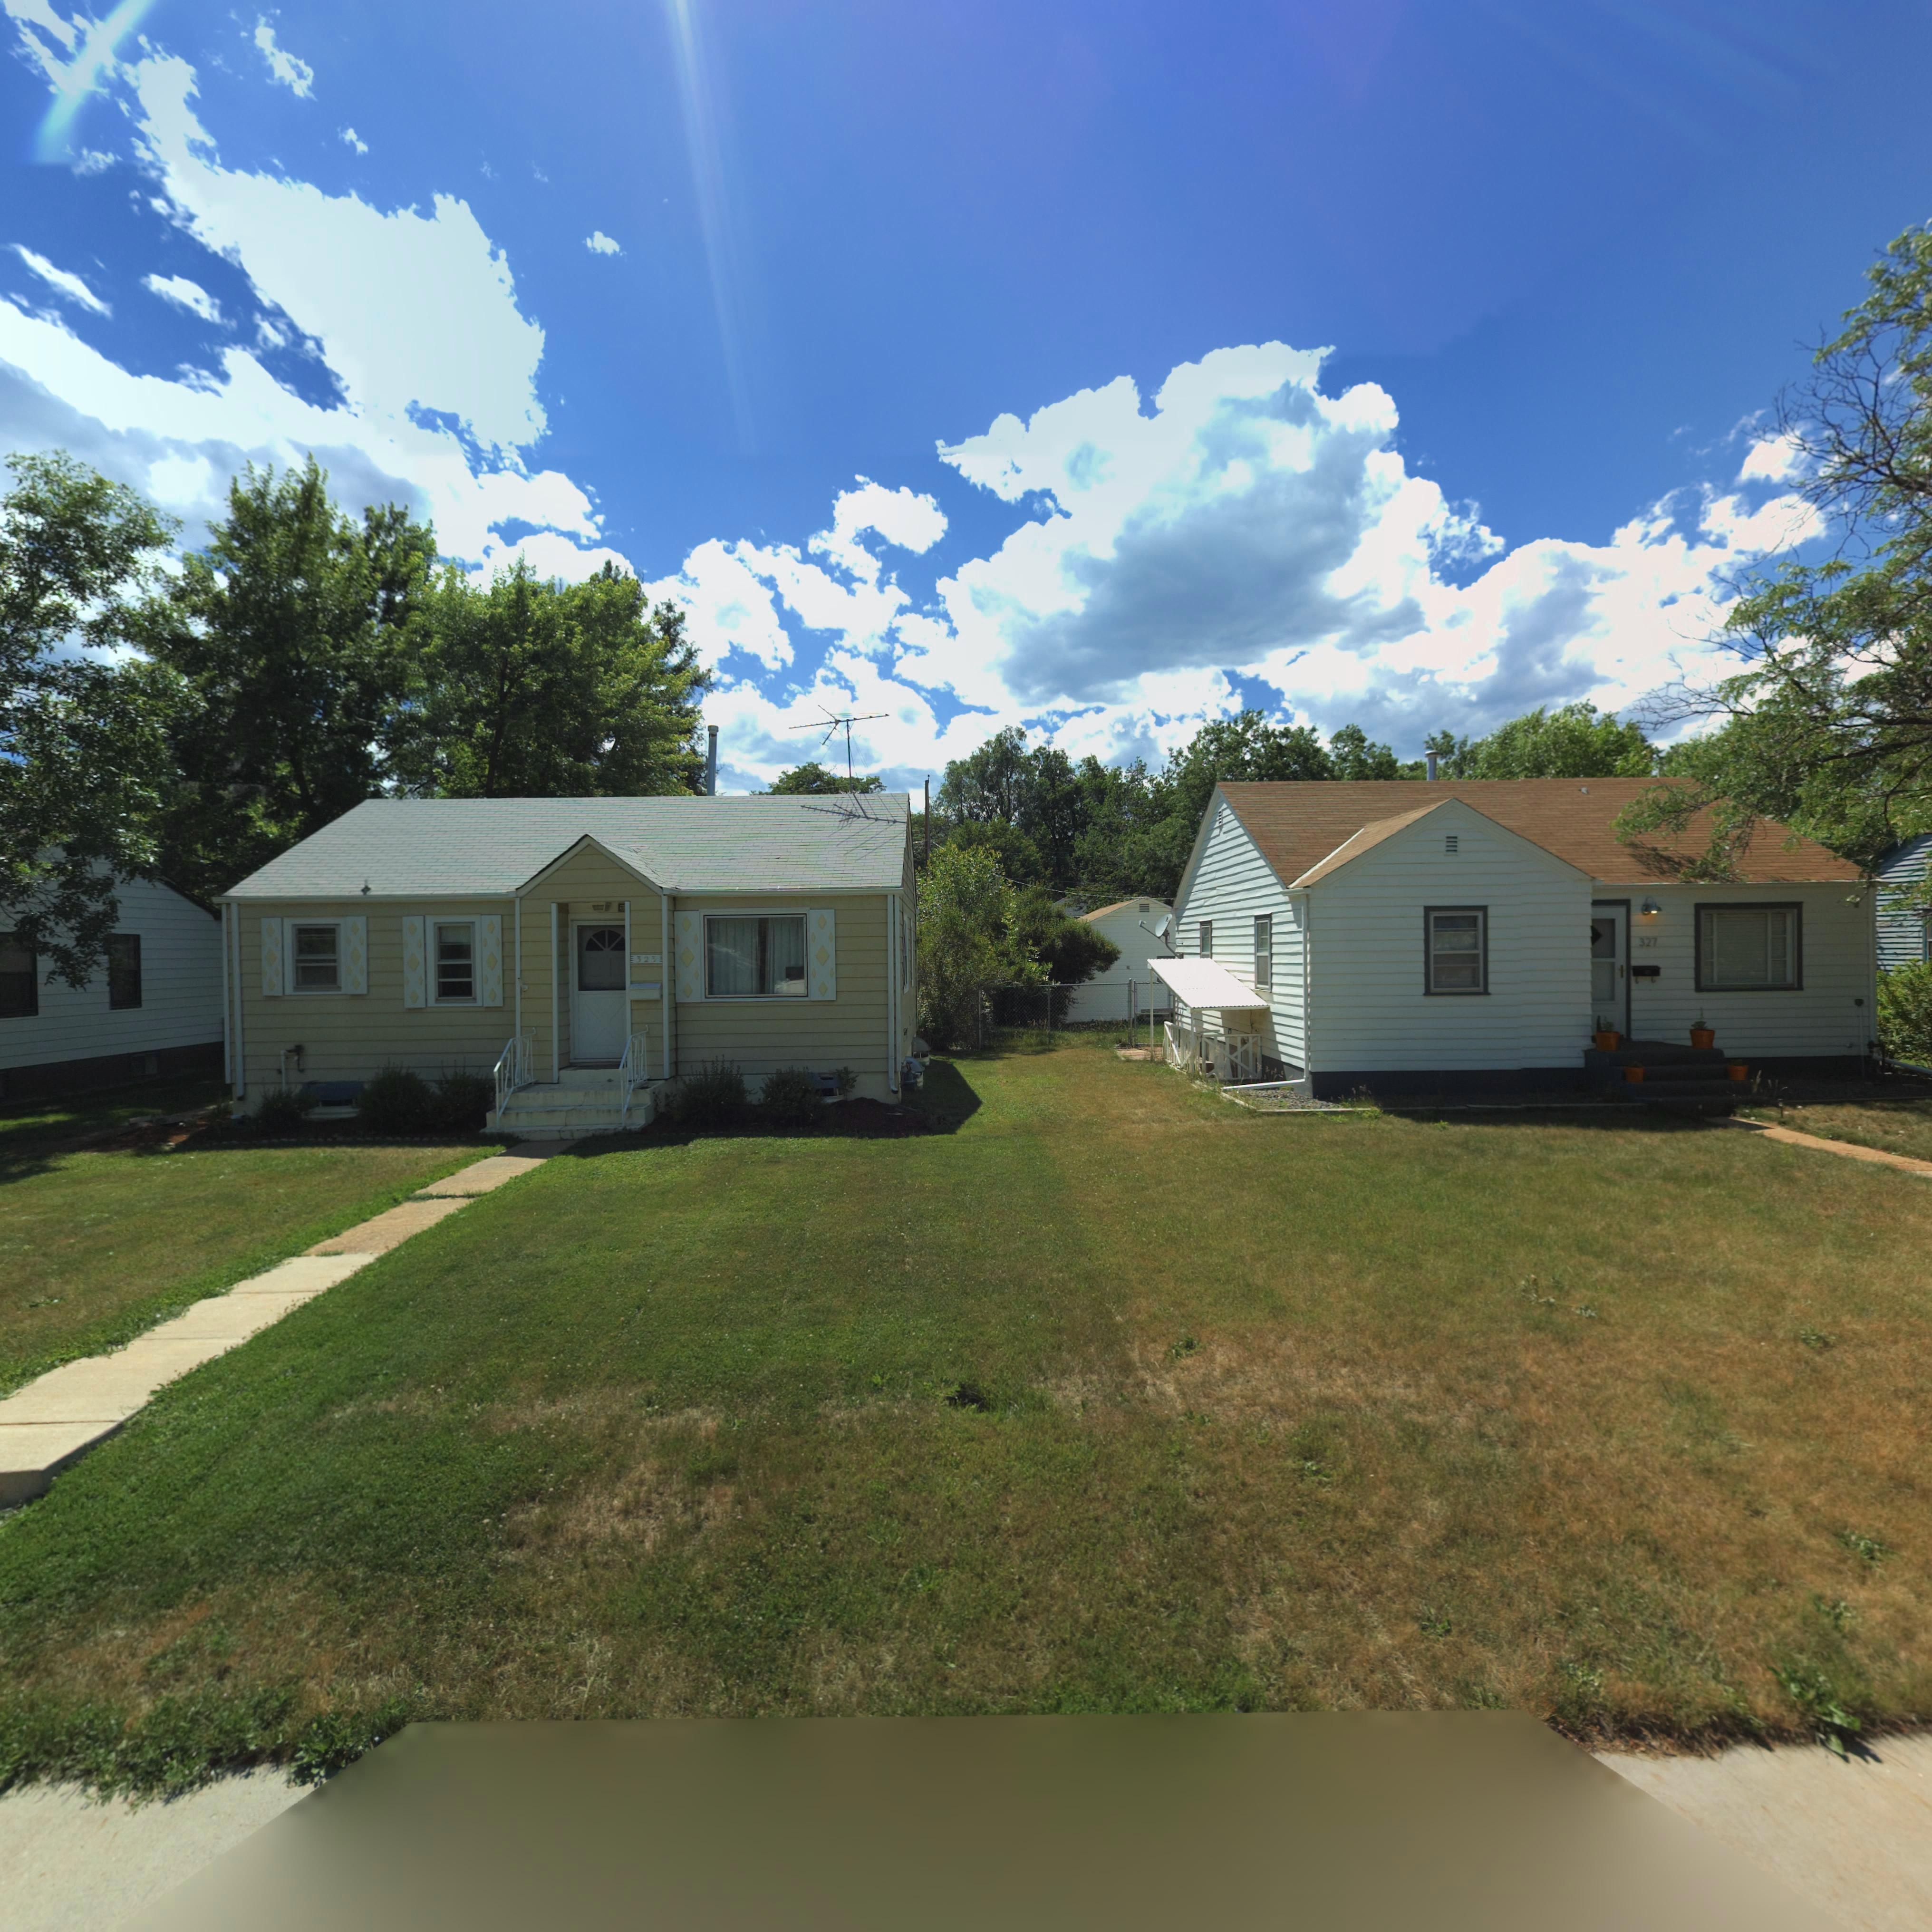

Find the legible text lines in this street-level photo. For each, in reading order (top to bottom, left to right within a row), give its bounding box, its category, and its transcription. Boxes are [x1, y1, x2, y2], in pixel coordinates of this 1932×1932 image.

[1638, 937, 1657, 947] StreetNumber: 327
[635, 955, 657, 963] StreetNumber: 323